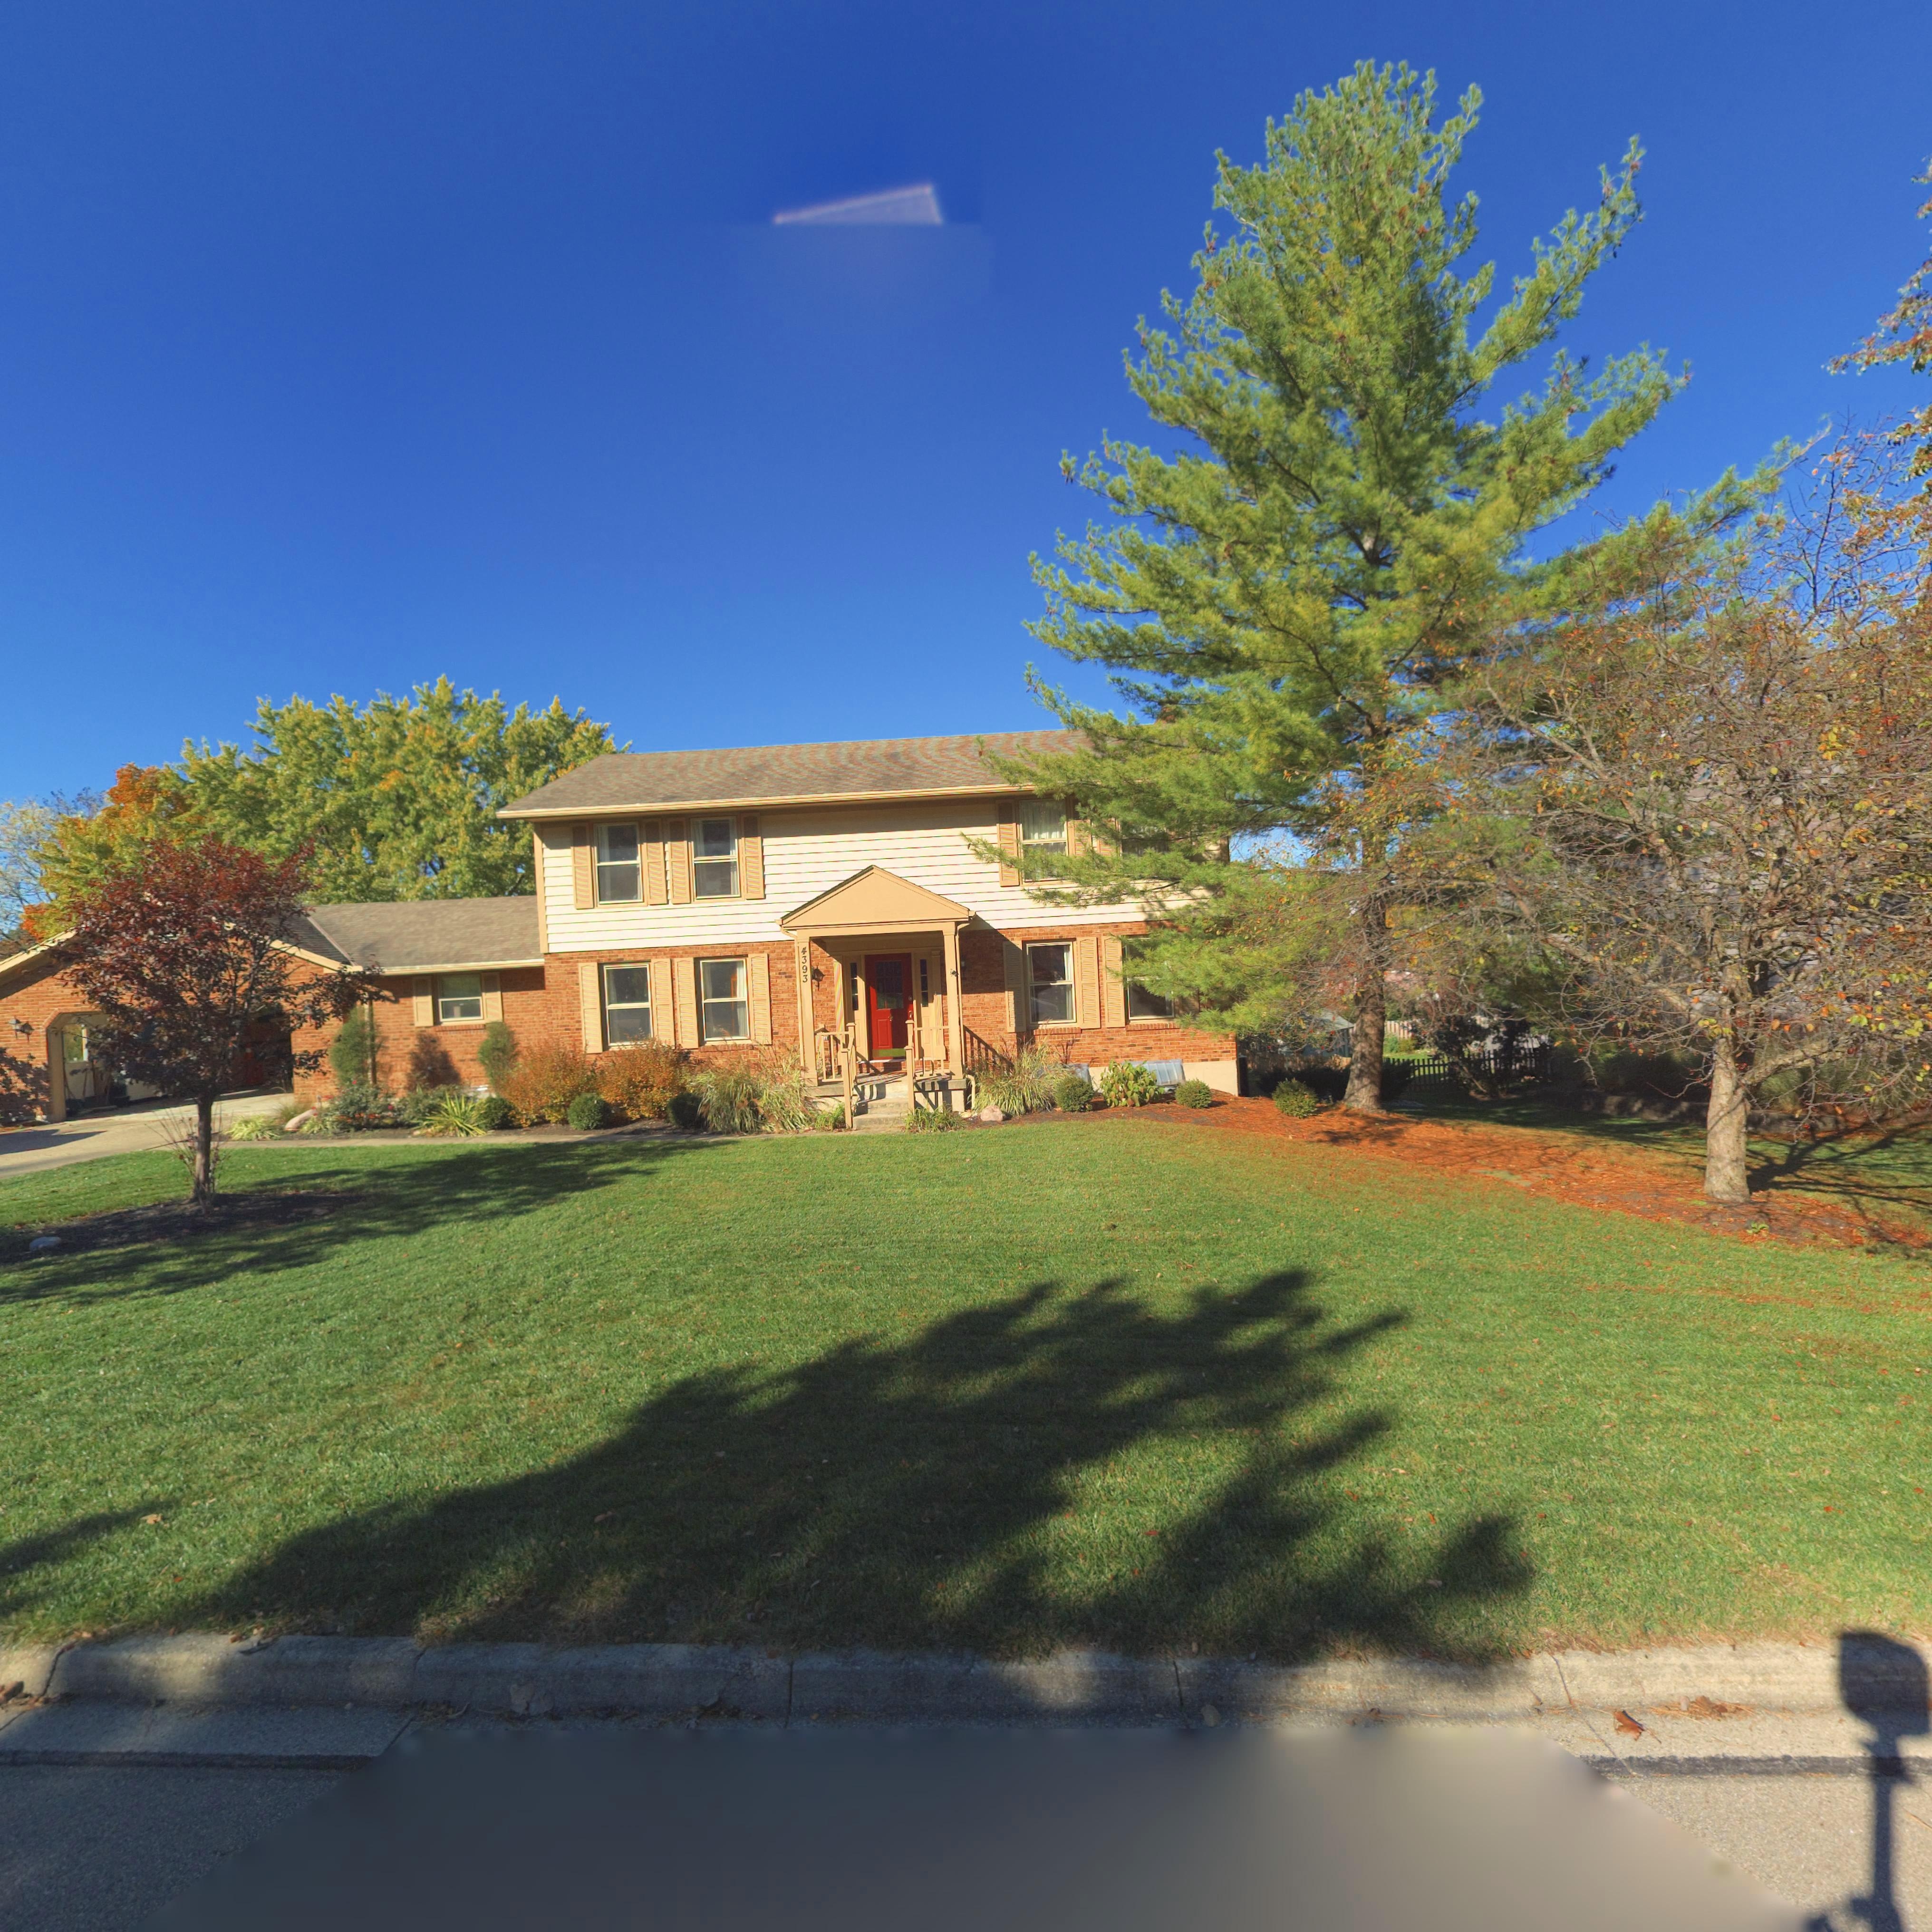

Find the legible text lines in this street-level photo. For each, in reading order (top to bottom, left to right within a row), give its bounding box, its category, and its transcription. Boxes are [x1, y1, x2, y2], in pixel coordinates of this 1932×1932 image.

[801, 946, 809, 984] StreetNumber: 4393